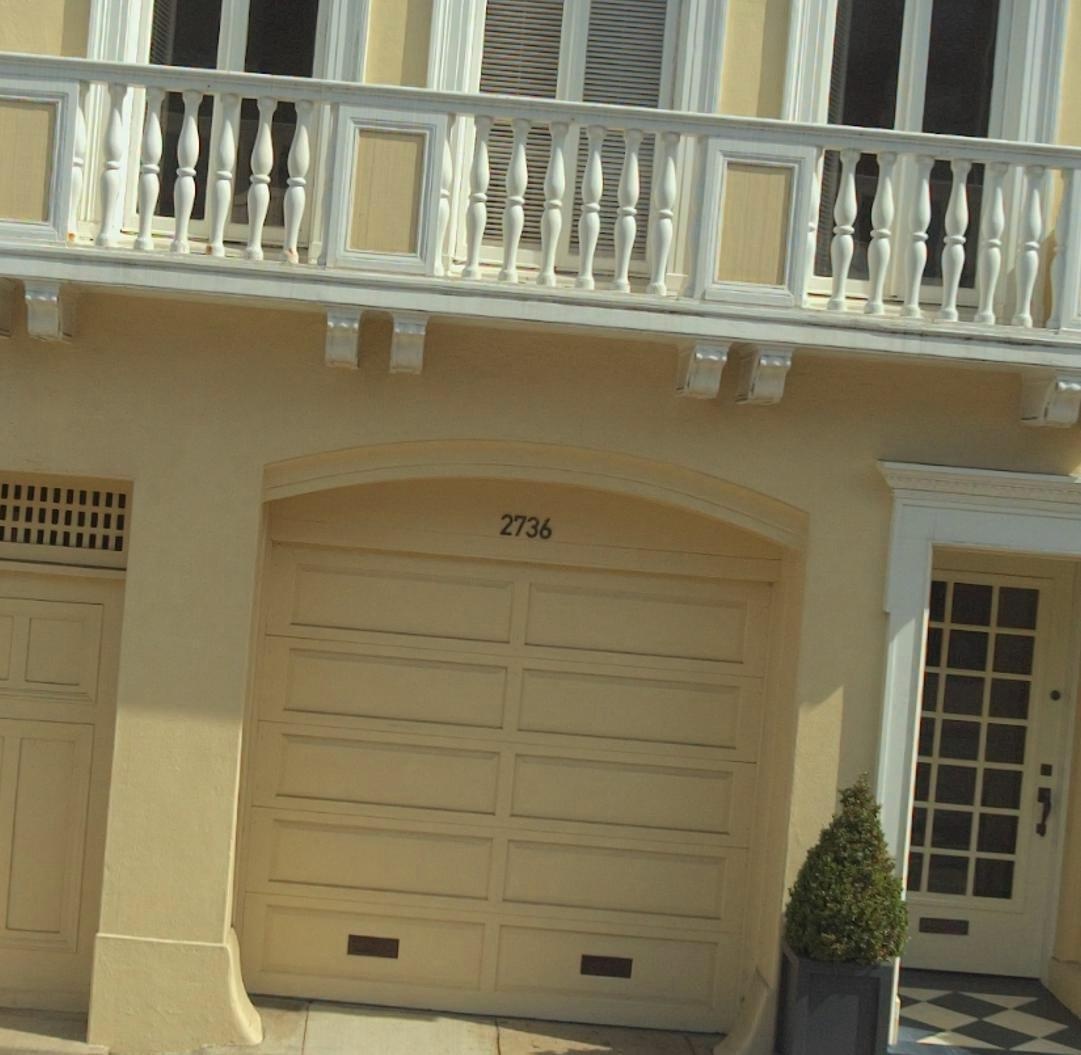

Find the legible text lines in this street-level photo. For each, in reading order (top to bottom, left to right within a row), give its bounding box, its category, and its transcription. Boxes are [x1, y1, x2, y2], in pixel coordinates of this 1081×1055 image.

[496, 511, 555, 542] StreetNumber: 2736